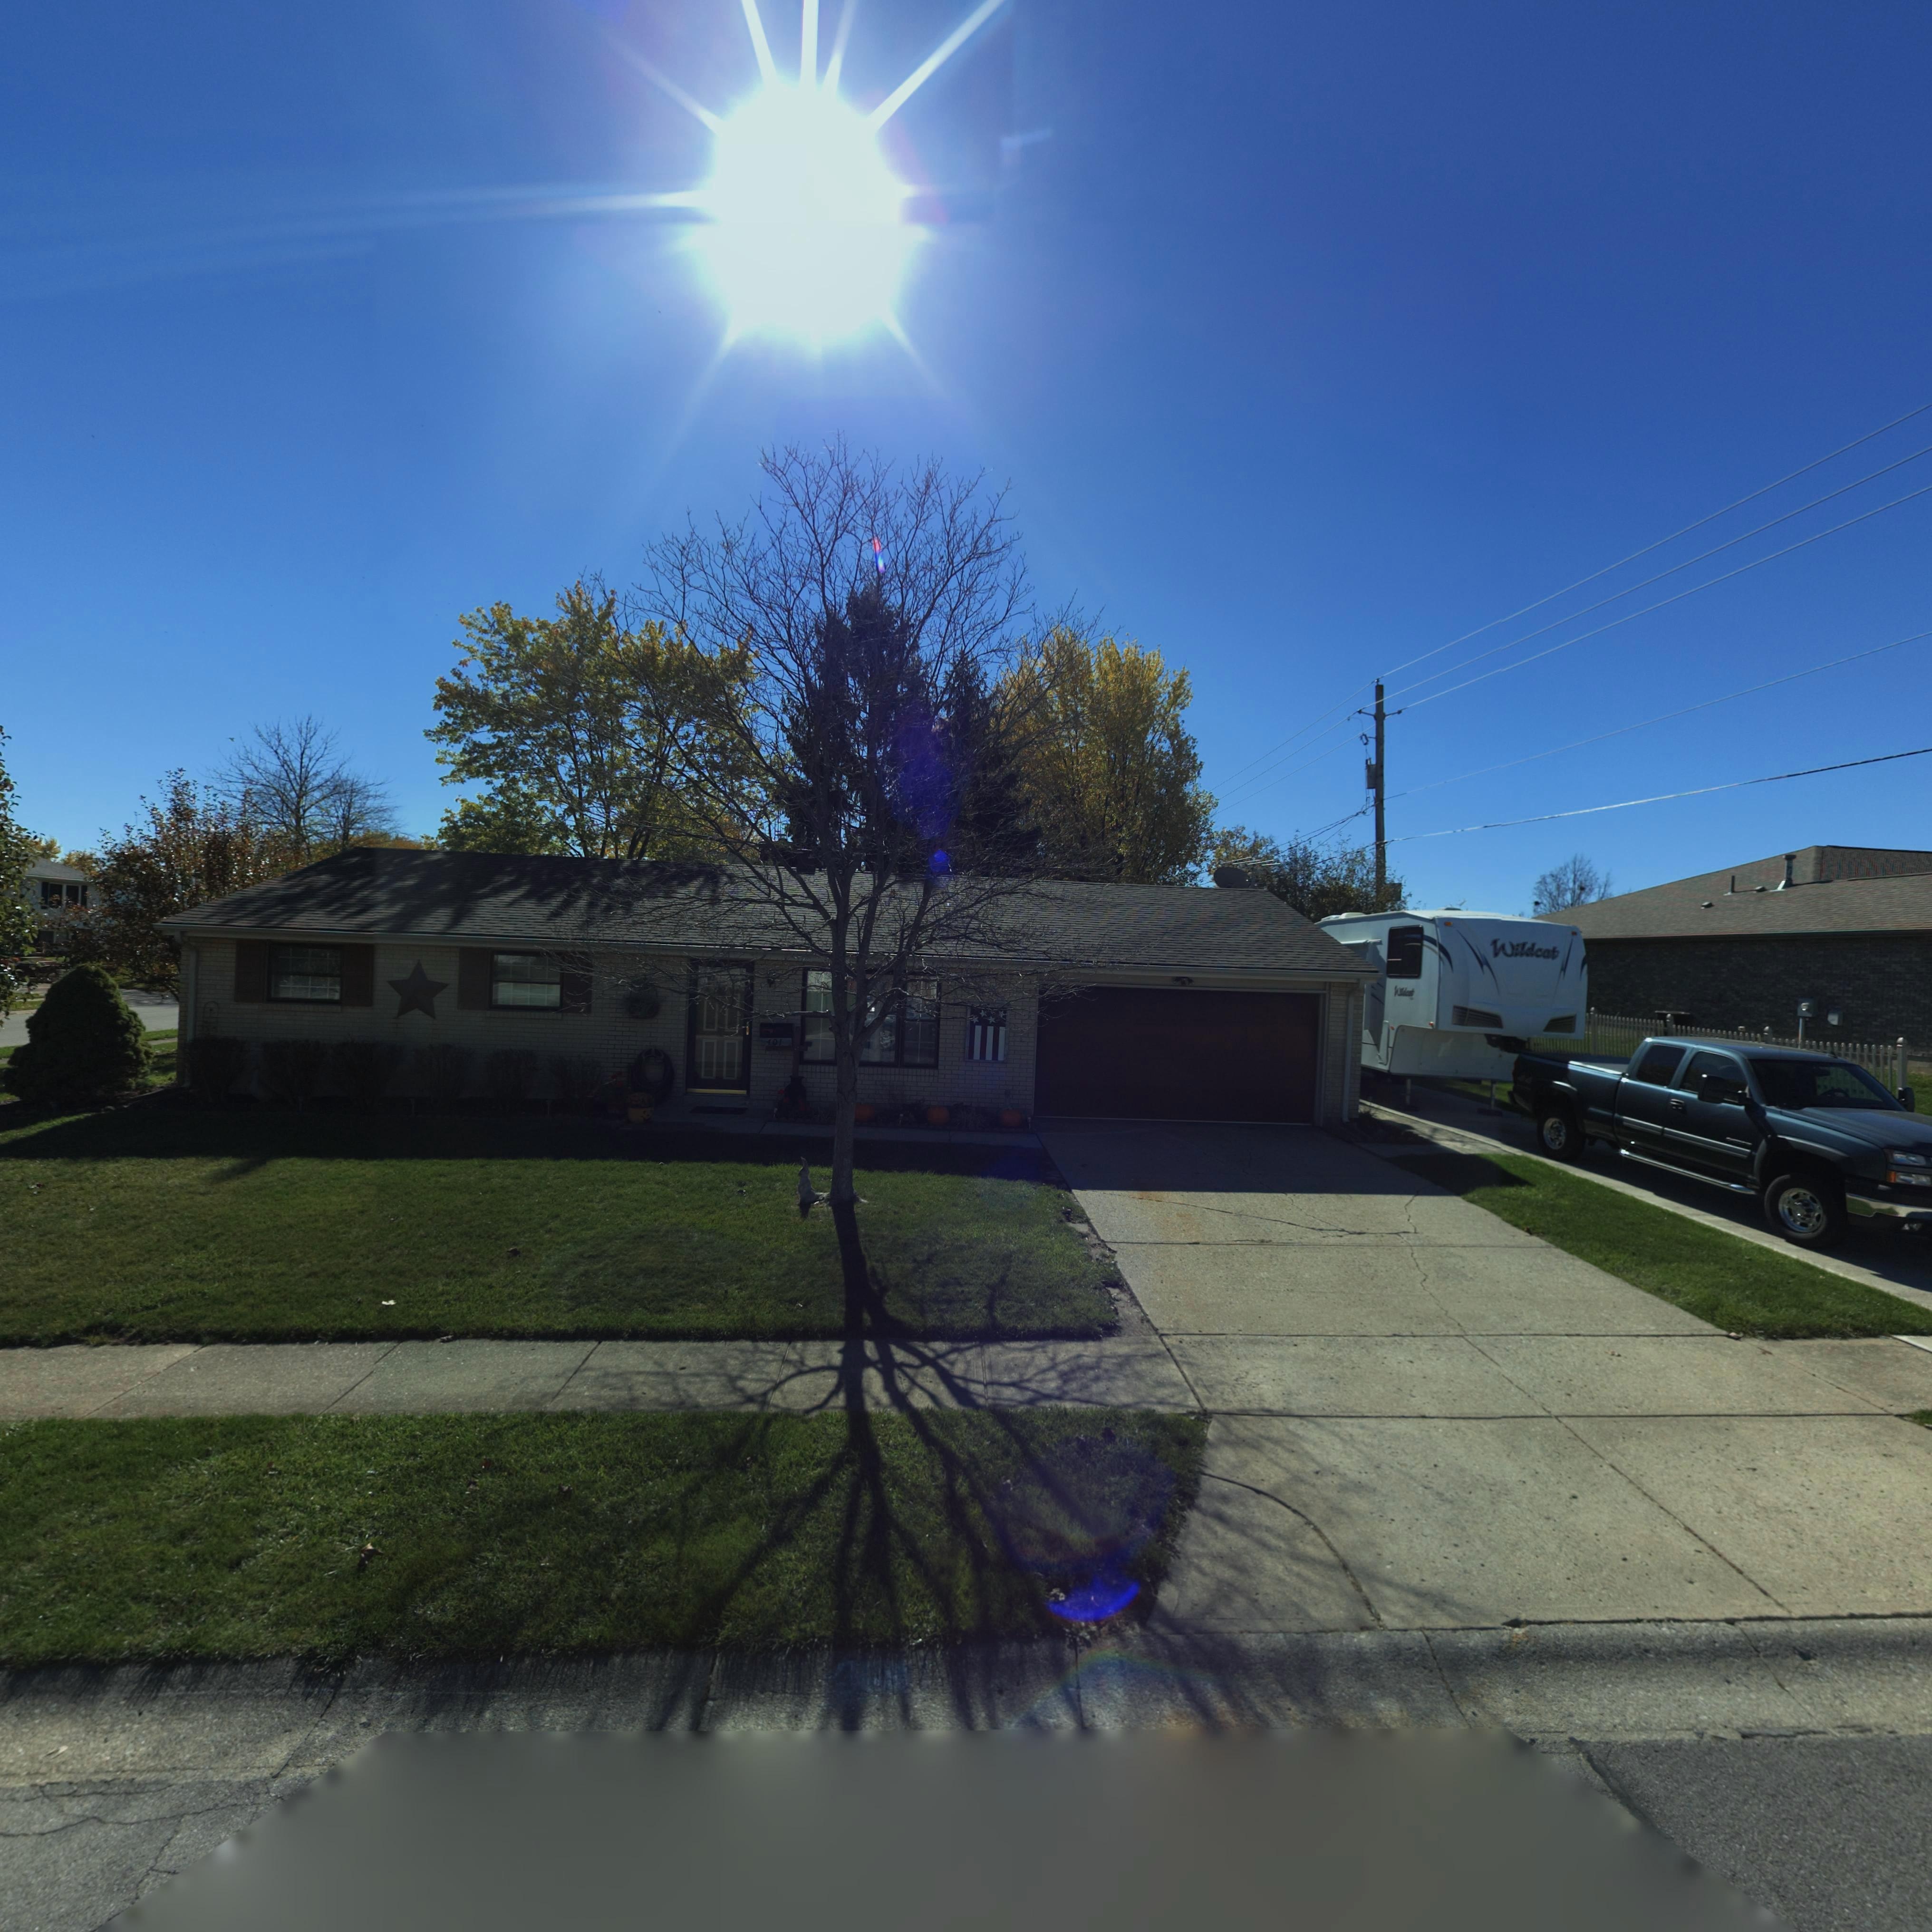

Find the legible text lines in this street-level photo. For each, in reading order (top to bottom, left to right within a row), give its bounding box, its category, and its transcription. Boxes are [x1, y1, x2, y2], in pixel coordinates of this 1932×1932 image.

[766, 1038, 782, 1047] StreetNumber: 401